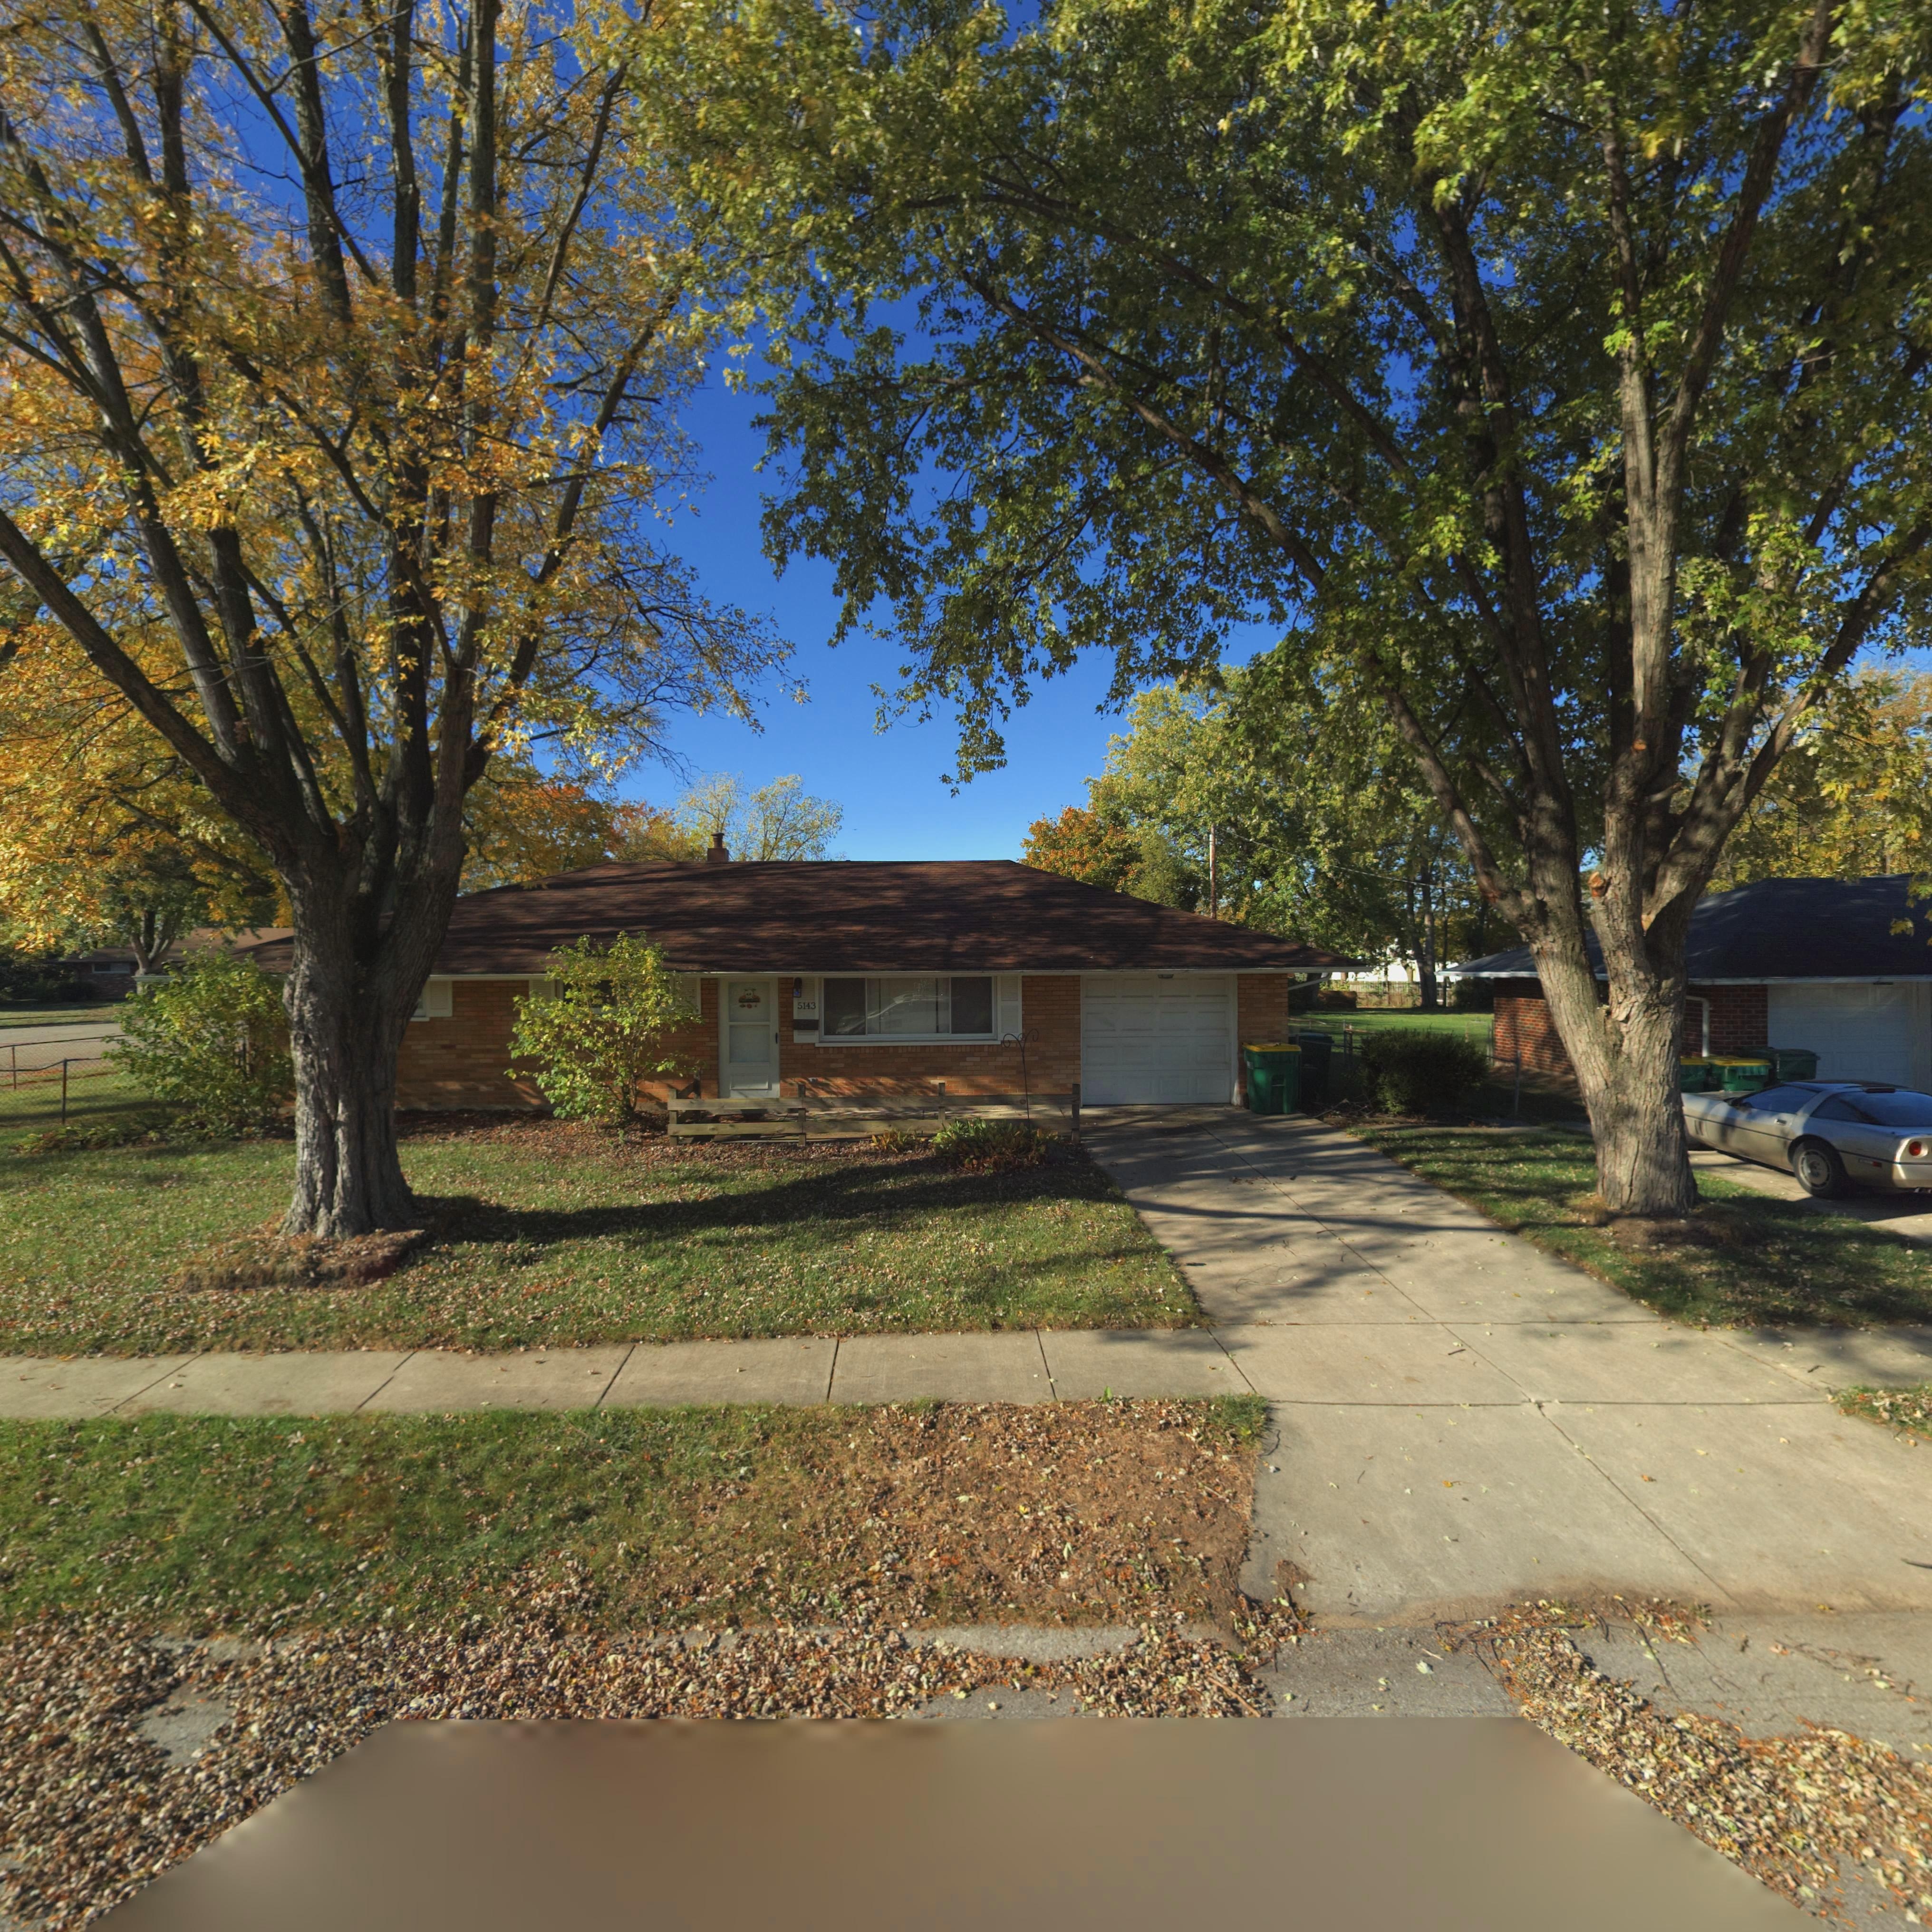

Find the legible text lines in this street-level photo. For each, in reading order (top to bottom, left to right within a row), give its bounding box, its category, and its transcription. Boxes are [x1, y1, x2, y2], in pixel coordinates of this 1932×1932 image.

[797, 1002, 816, 1009] StreetNumber: 5143